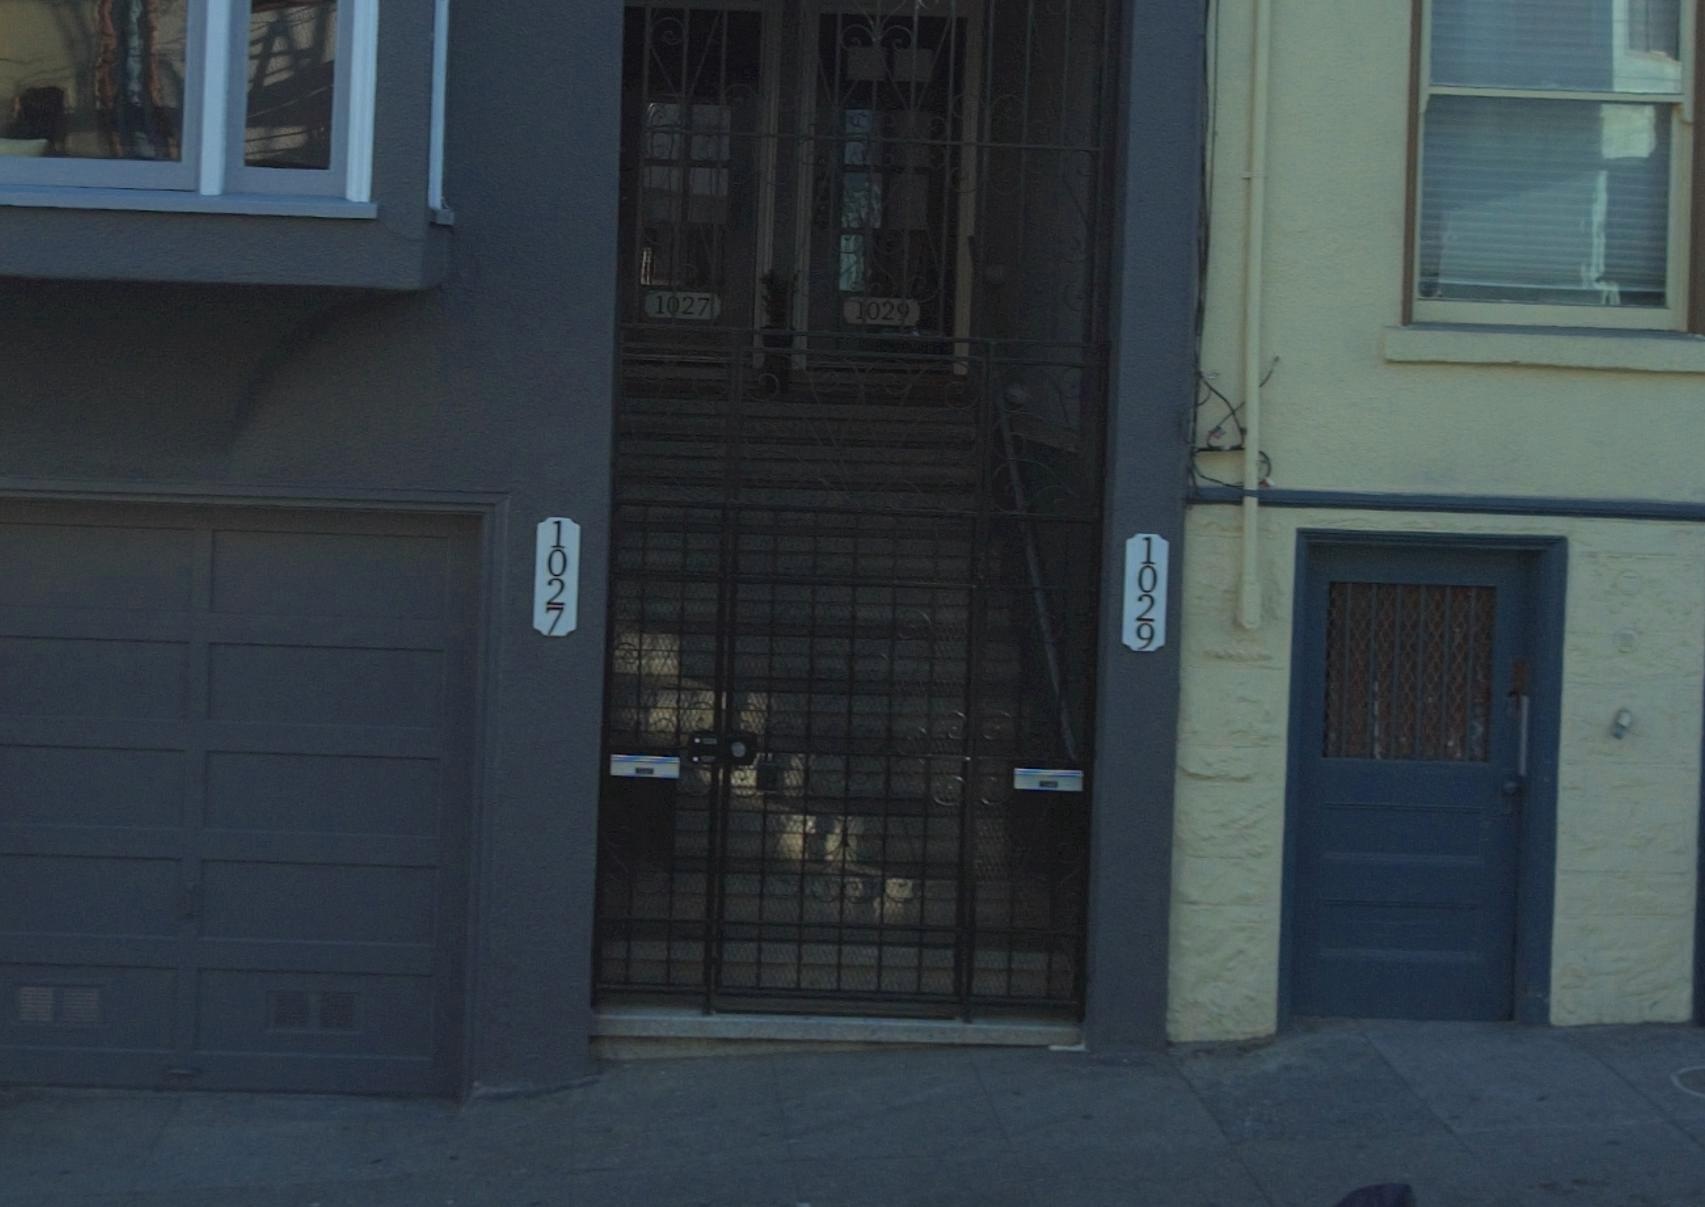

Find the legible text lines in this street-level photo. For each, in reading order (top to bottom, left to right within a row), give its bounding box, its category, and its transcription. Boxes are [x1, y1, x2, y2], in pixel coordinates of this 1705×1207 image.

[653, 292, 709, 316] SecondaryUnitDesignator: 1*27
[852, 299, 909, 322] StreetNumber: 102*
[544, 519, 568, 636] StreetNumber: 1027
[1134, 532, 1158, 652] StreetNumber: 1029